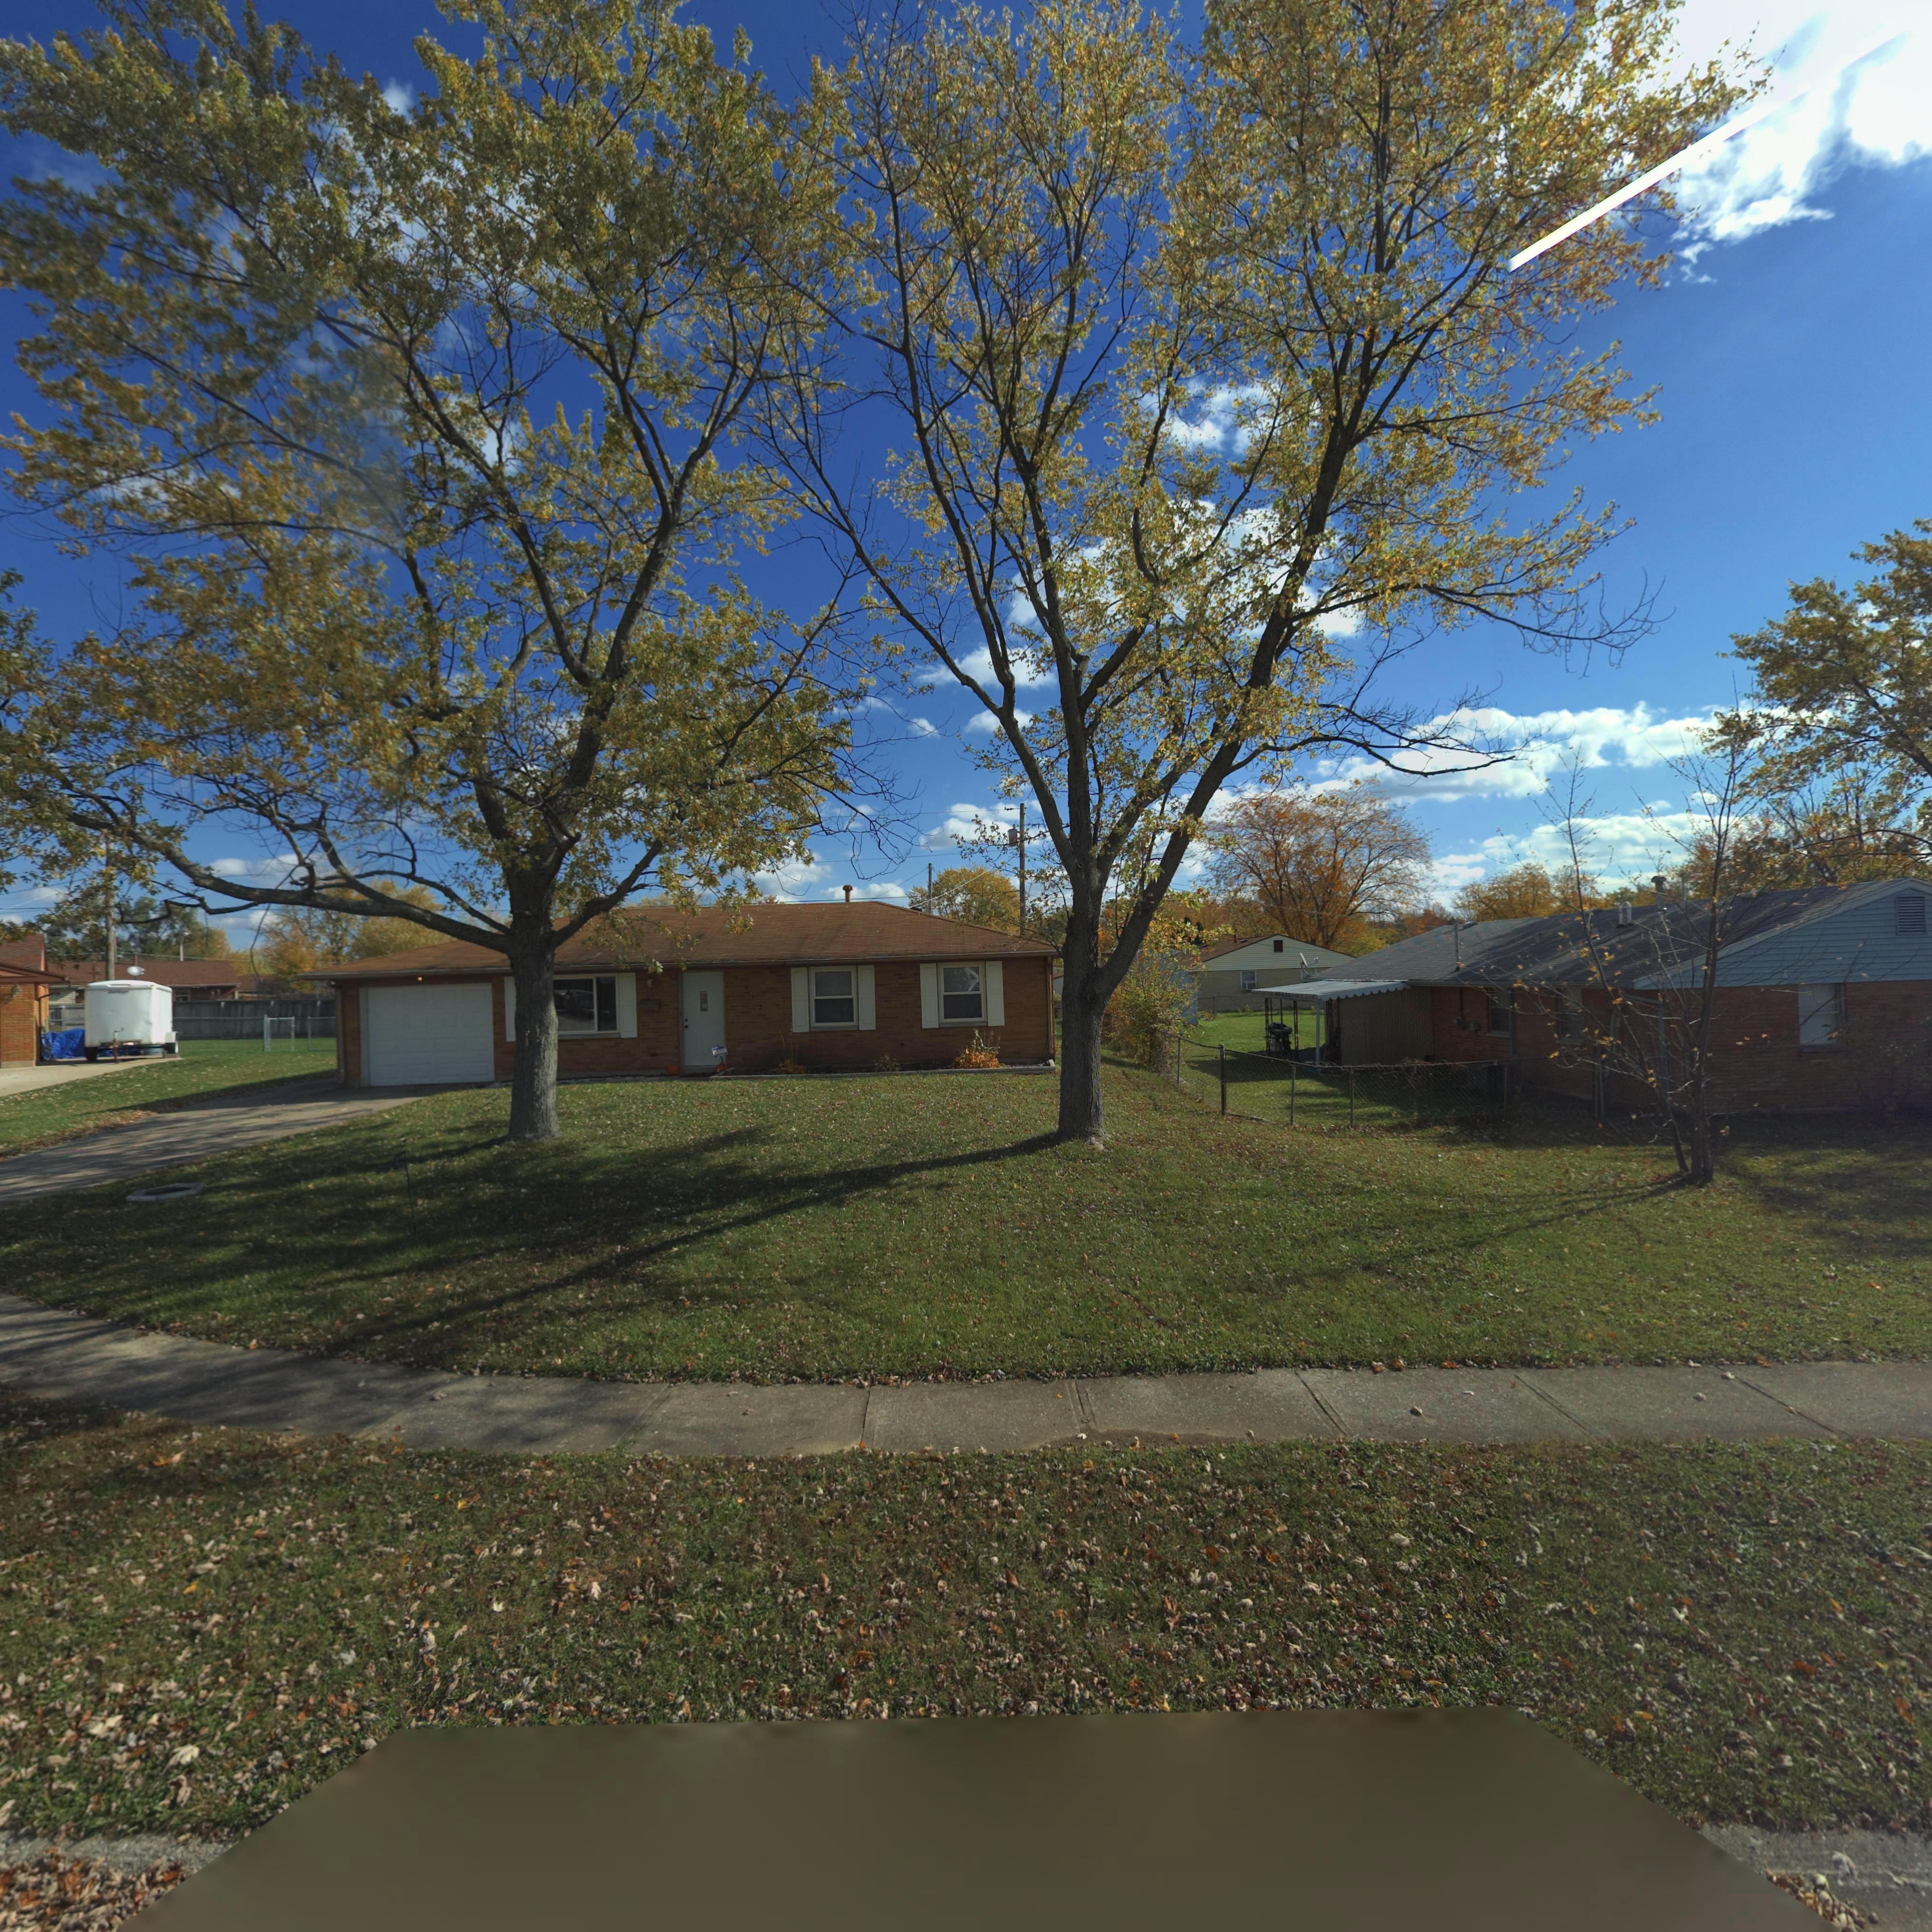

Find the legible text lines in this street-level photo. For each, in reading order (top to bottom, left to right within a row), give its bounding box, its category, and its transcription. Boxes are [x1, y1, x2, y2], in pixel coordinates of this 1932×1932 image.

[734, 975, 763, 1011] StreetNumber: 7612